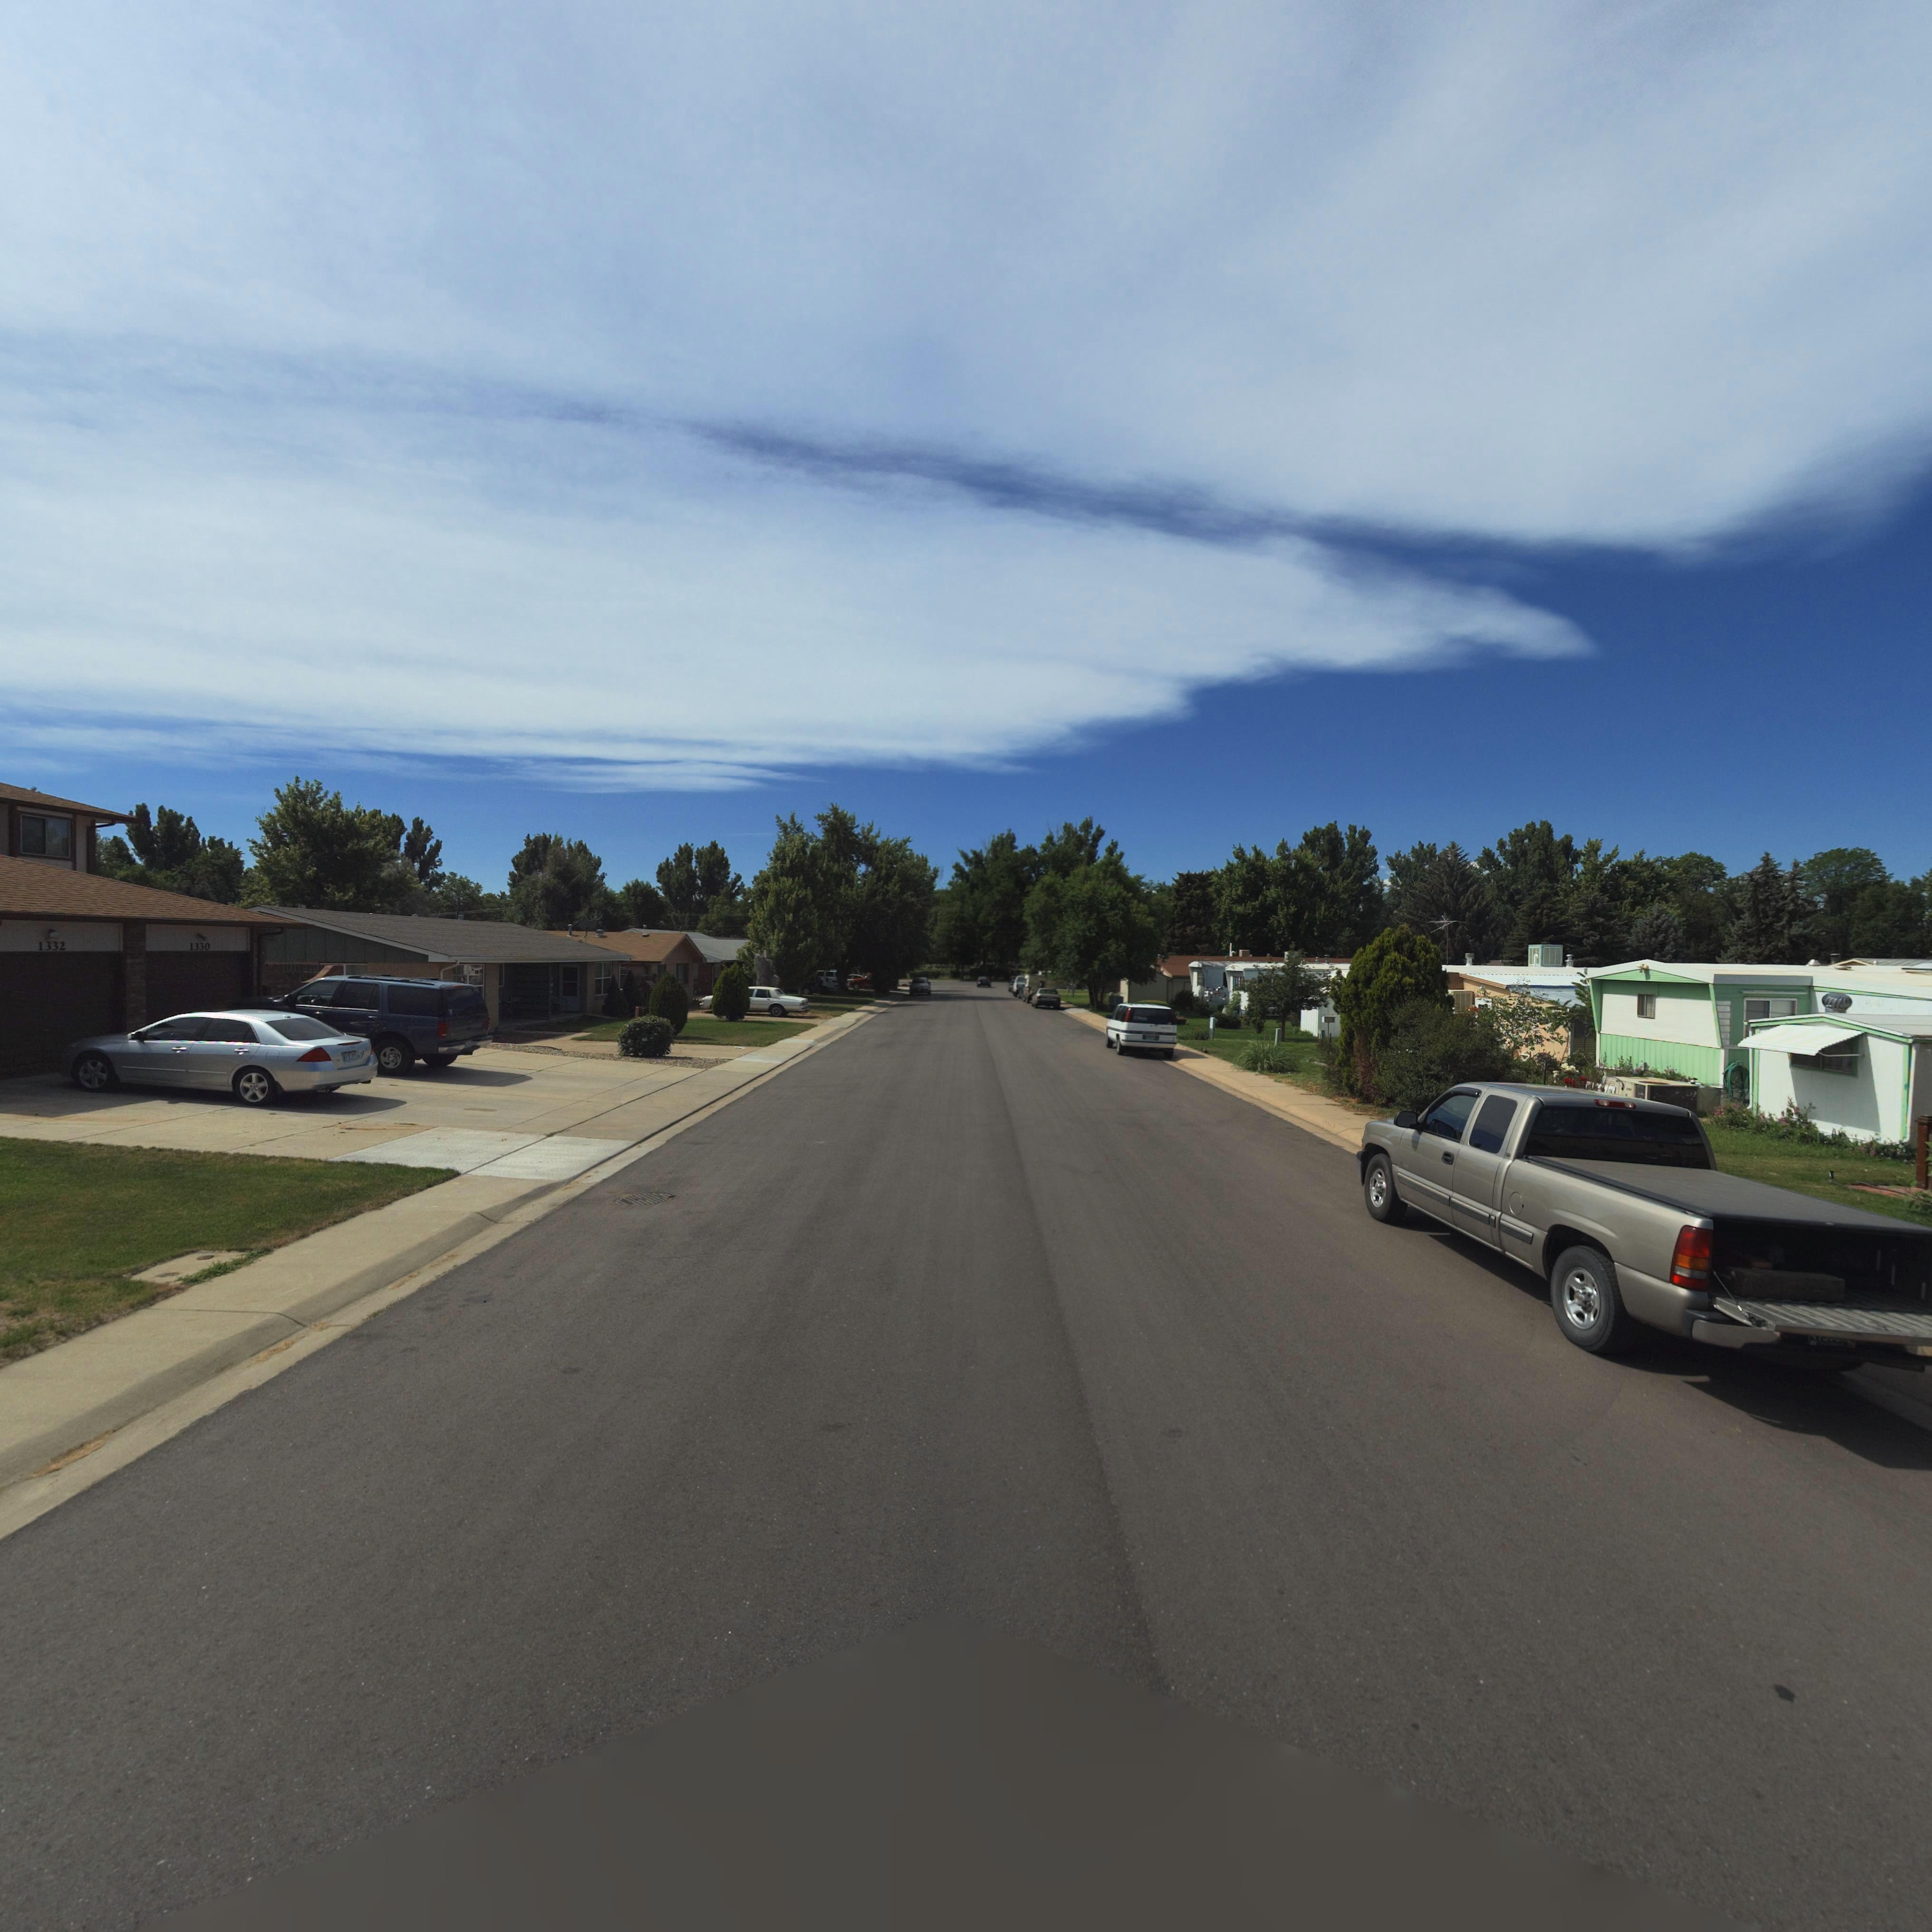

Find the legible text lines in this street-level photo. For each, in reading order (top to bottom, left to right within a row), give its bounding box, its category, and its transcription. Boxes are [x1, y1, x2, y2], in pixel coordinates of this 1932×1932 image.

[38, 940, 67, 952] StreetNumber: 1332
[189, 941, 211, 951] StreetNumber: 1330